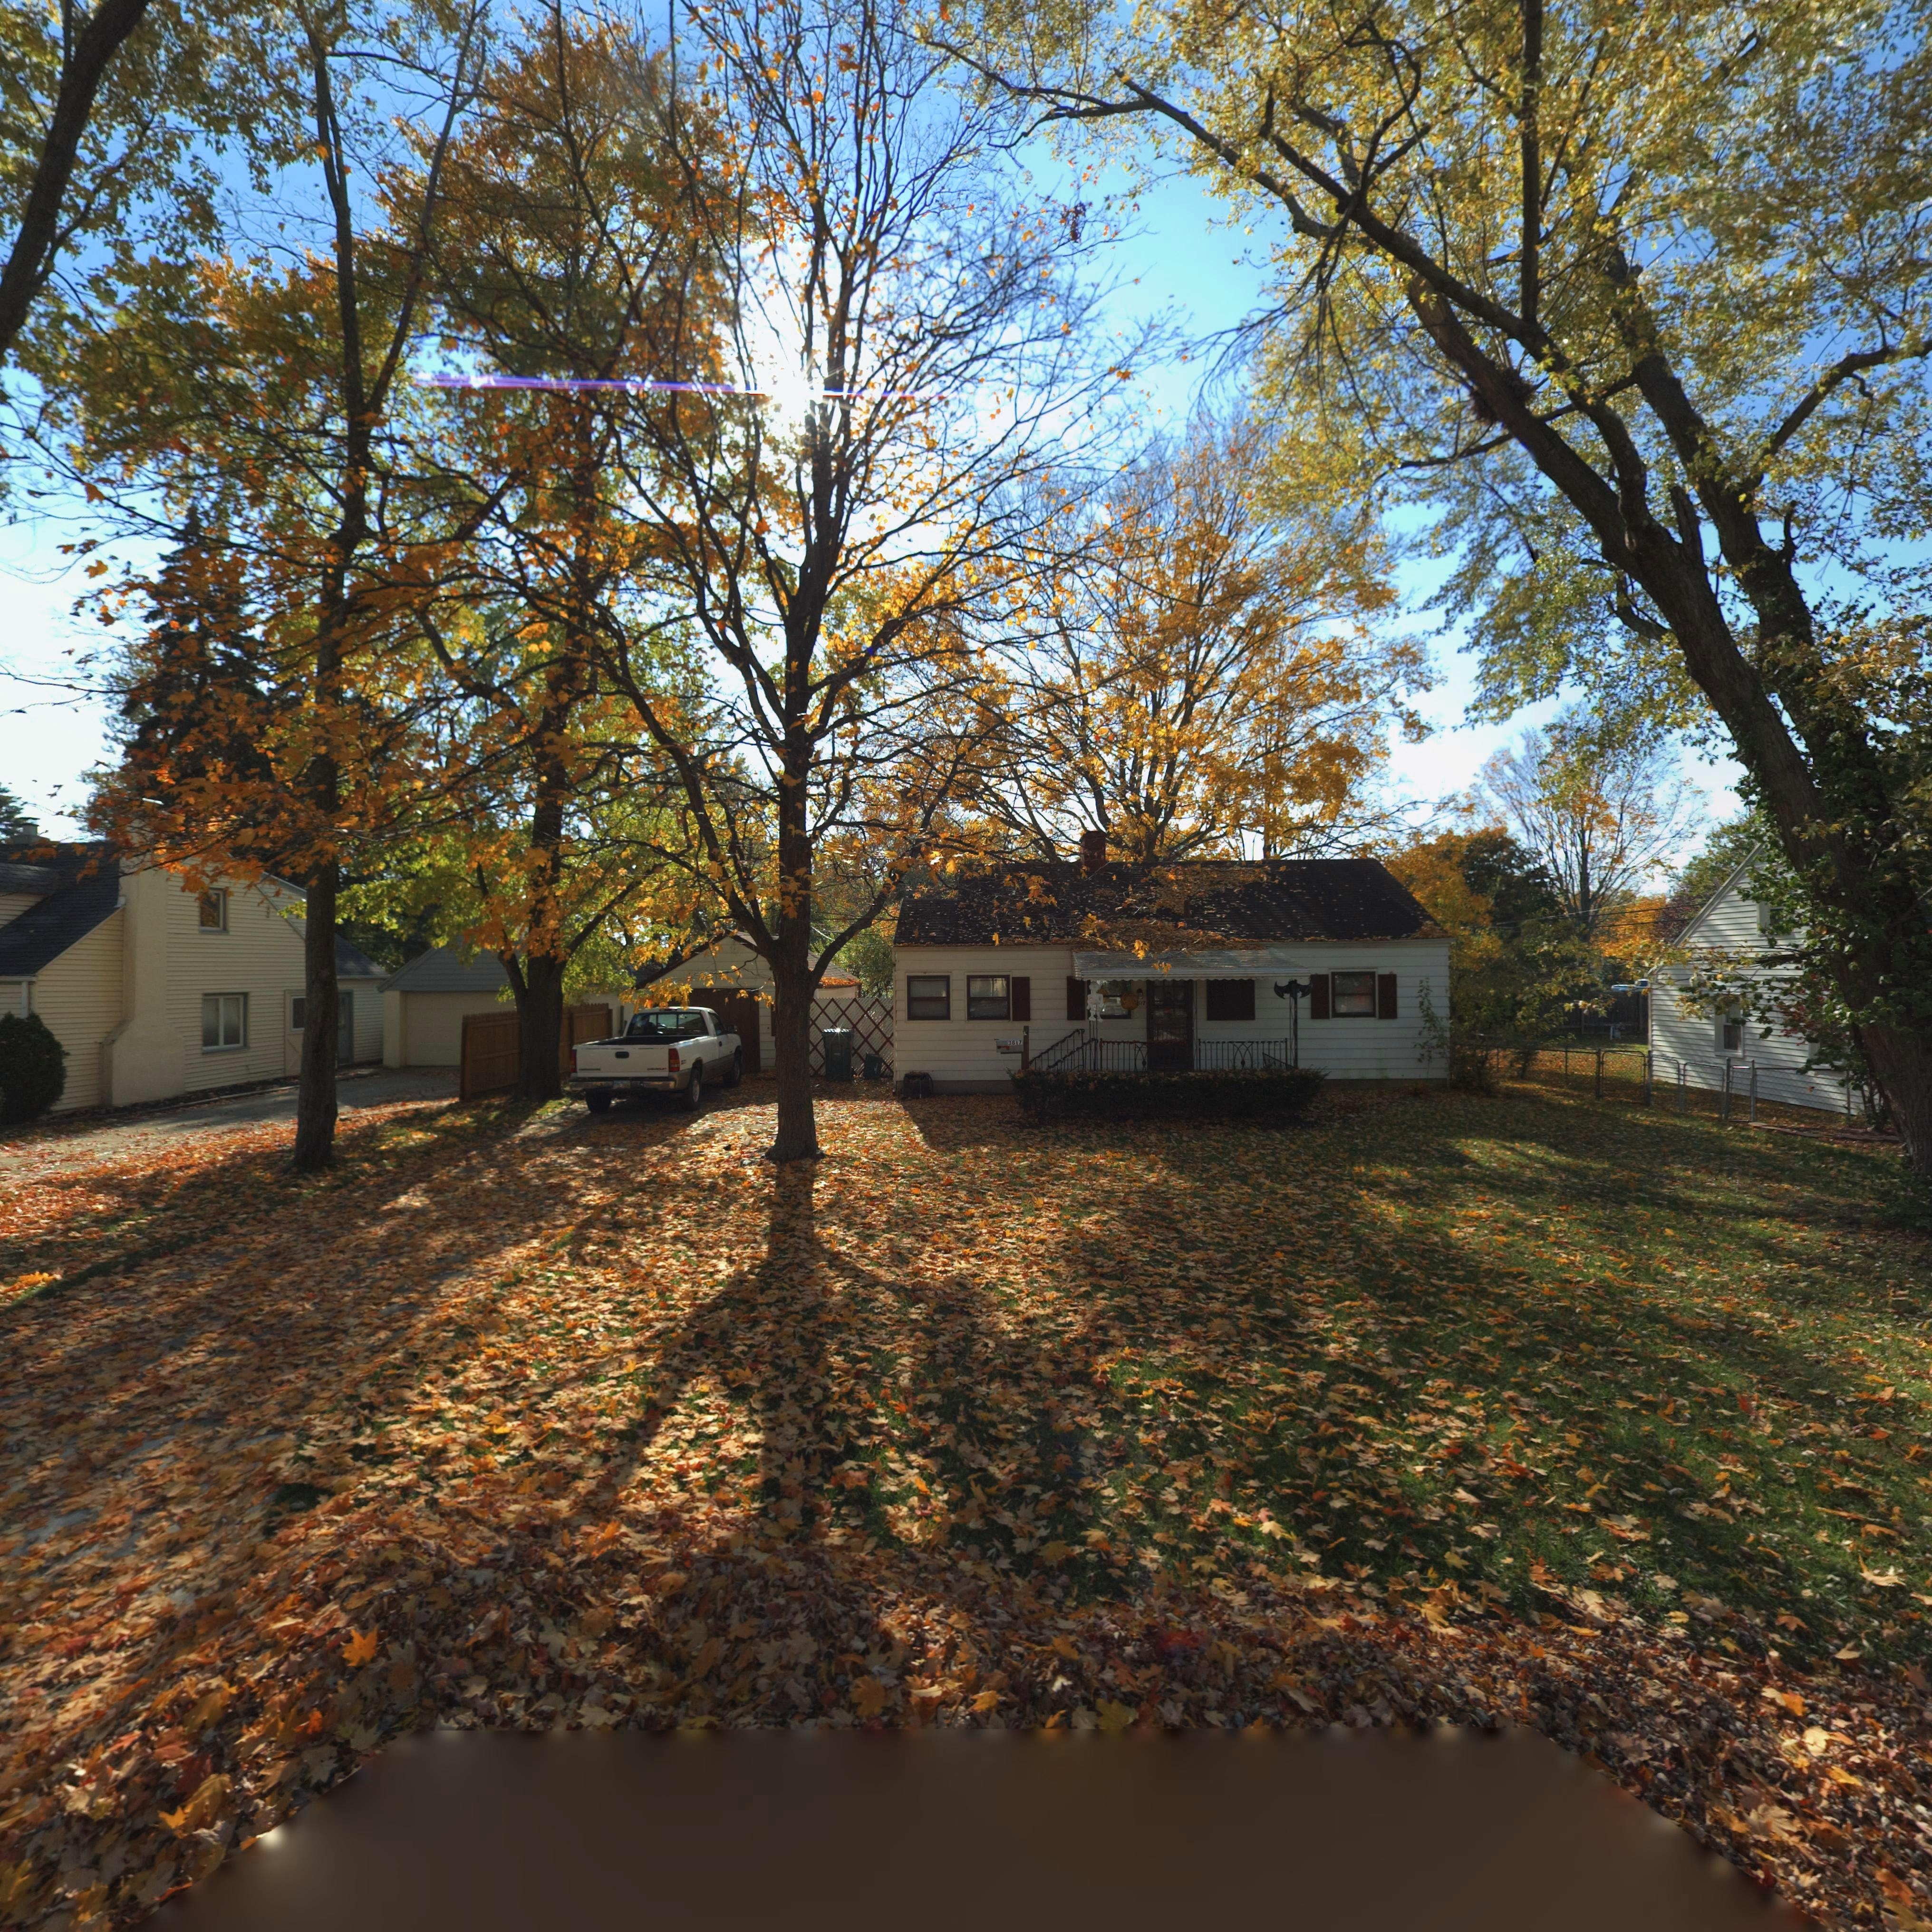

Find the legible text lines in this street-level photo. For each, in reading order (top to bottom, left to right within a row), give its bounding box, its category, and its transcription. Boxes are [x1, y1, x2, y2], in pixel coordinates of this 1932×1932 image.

[1140, 1000, 1146, 1006] StreetNumber: 17
[1008, 1039, 1023, 1046] StreetNumber: 3817